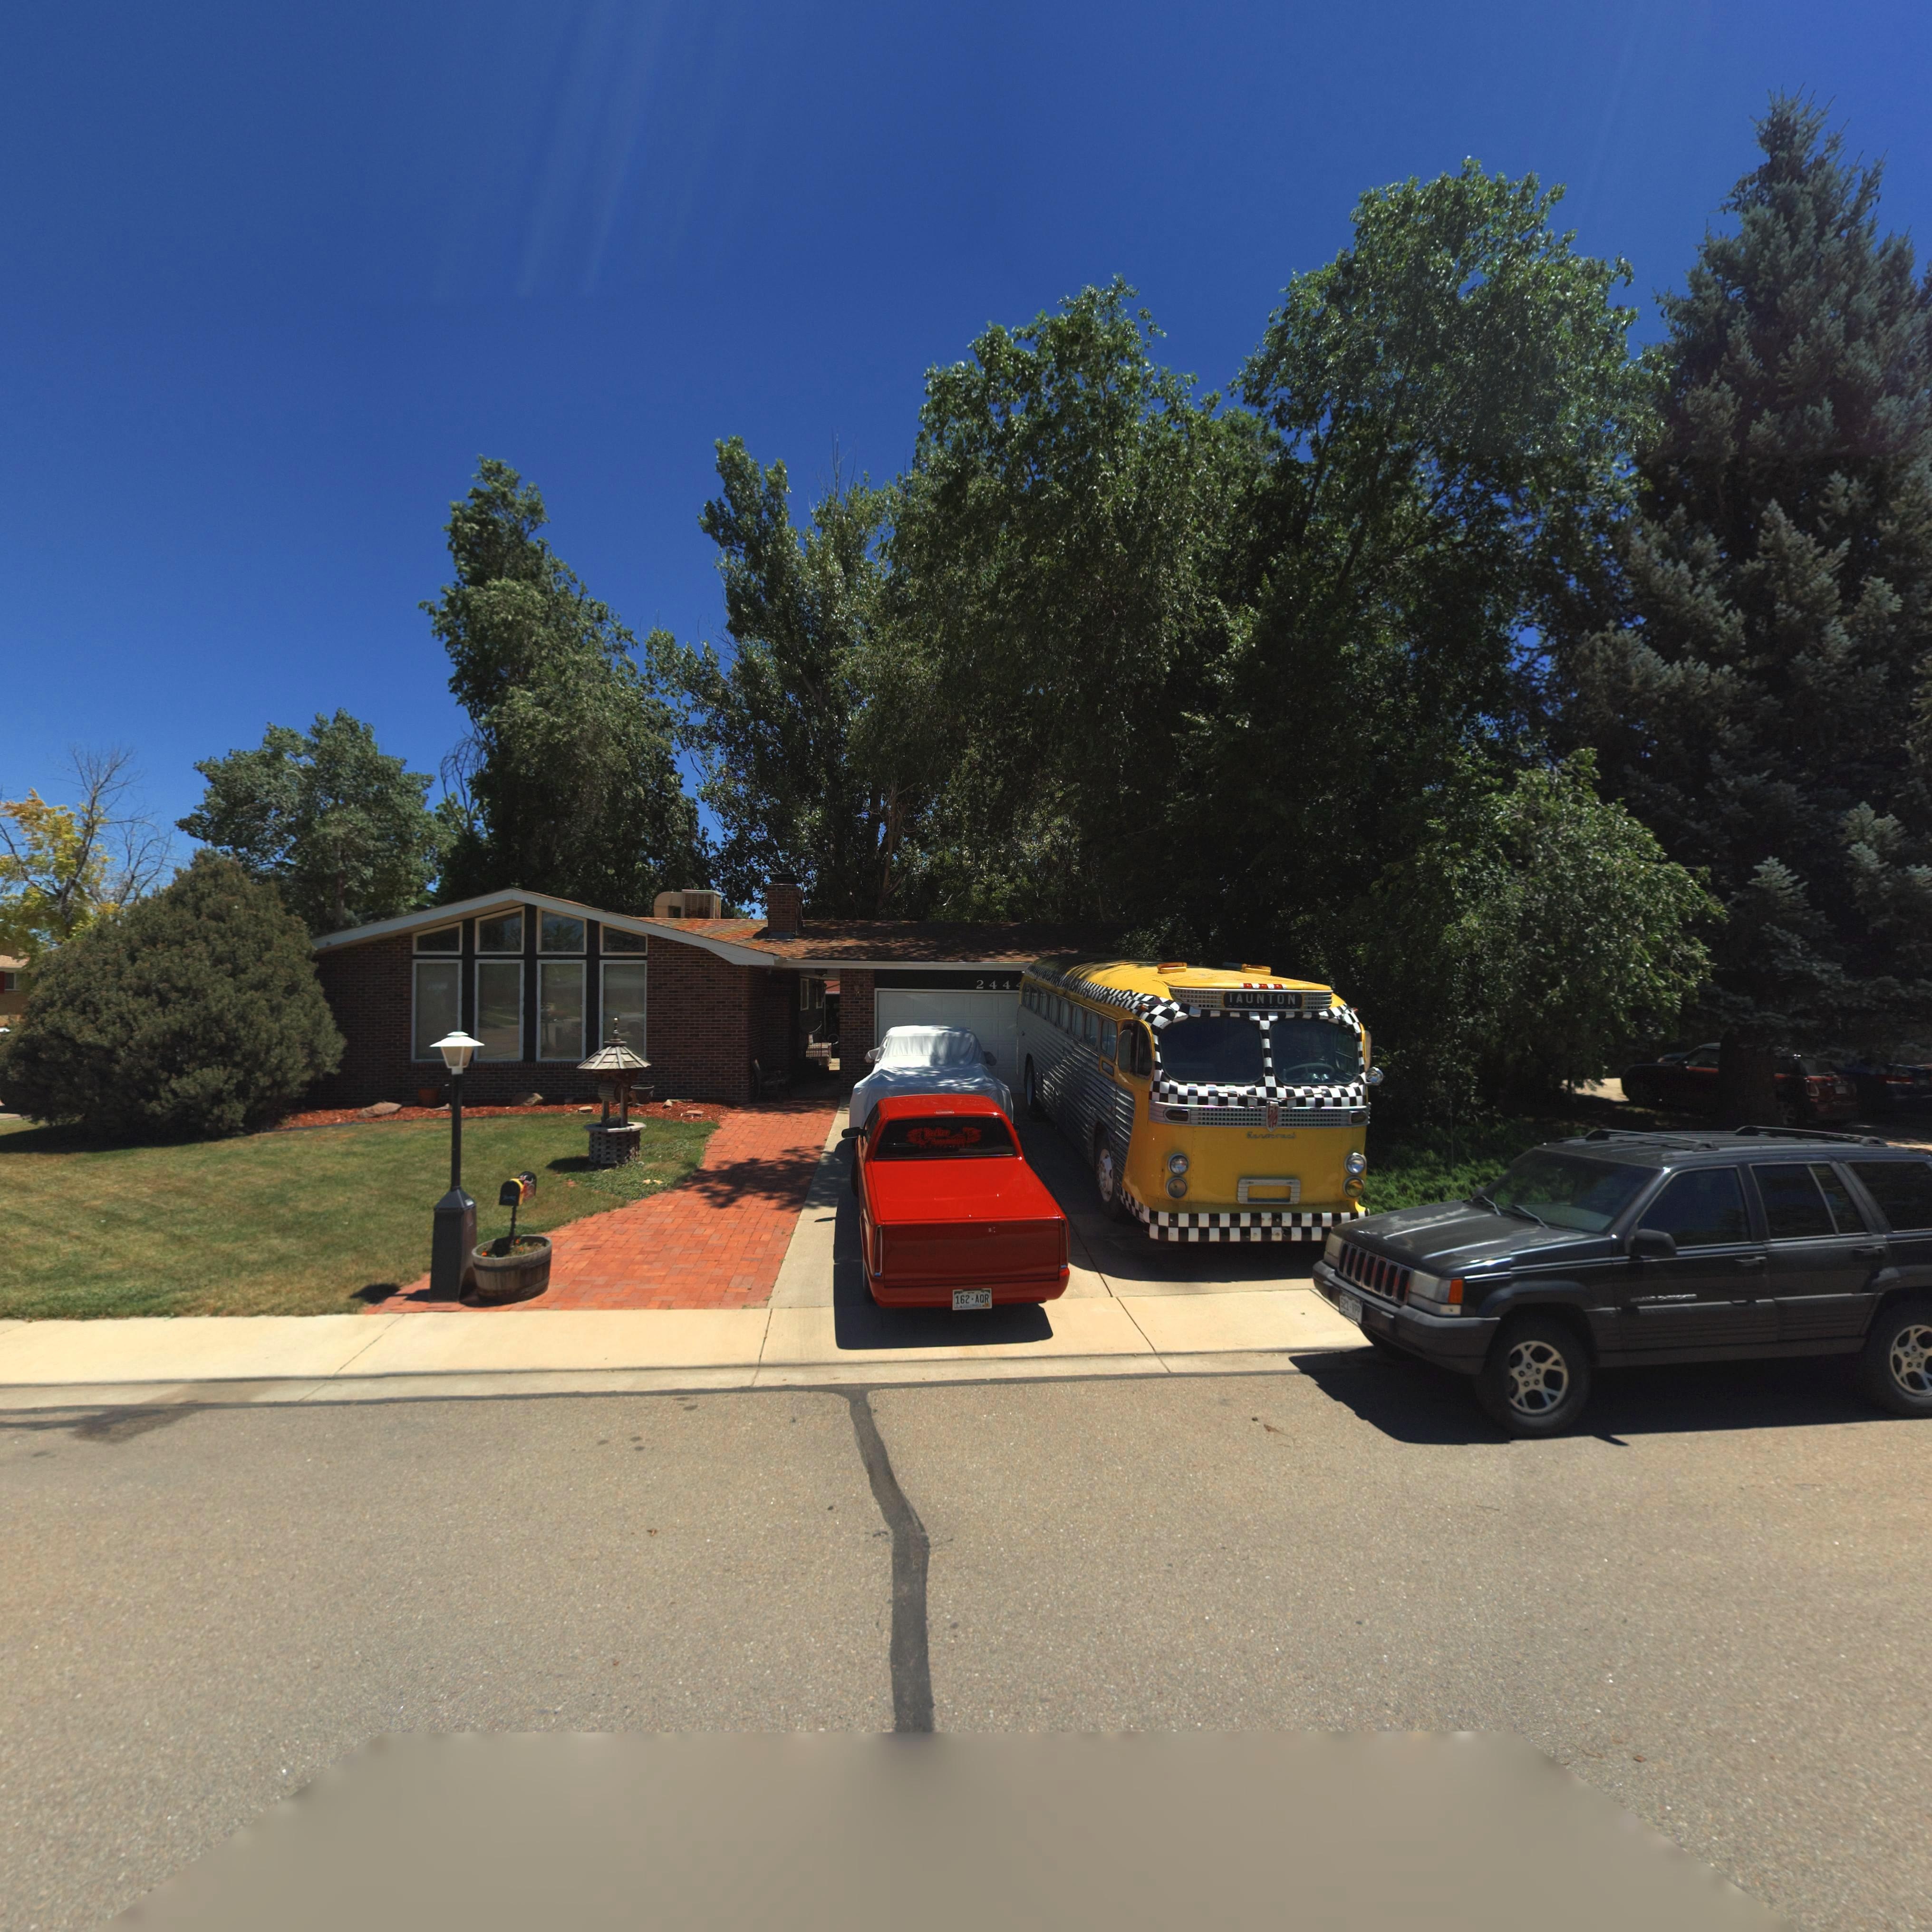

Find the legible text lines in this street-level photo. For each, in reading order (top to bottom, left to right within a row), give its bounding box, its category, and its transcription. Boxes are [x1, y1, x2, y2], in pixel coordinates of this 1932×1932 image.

[976, 980, 1023, 990] StreetNumber: 2444